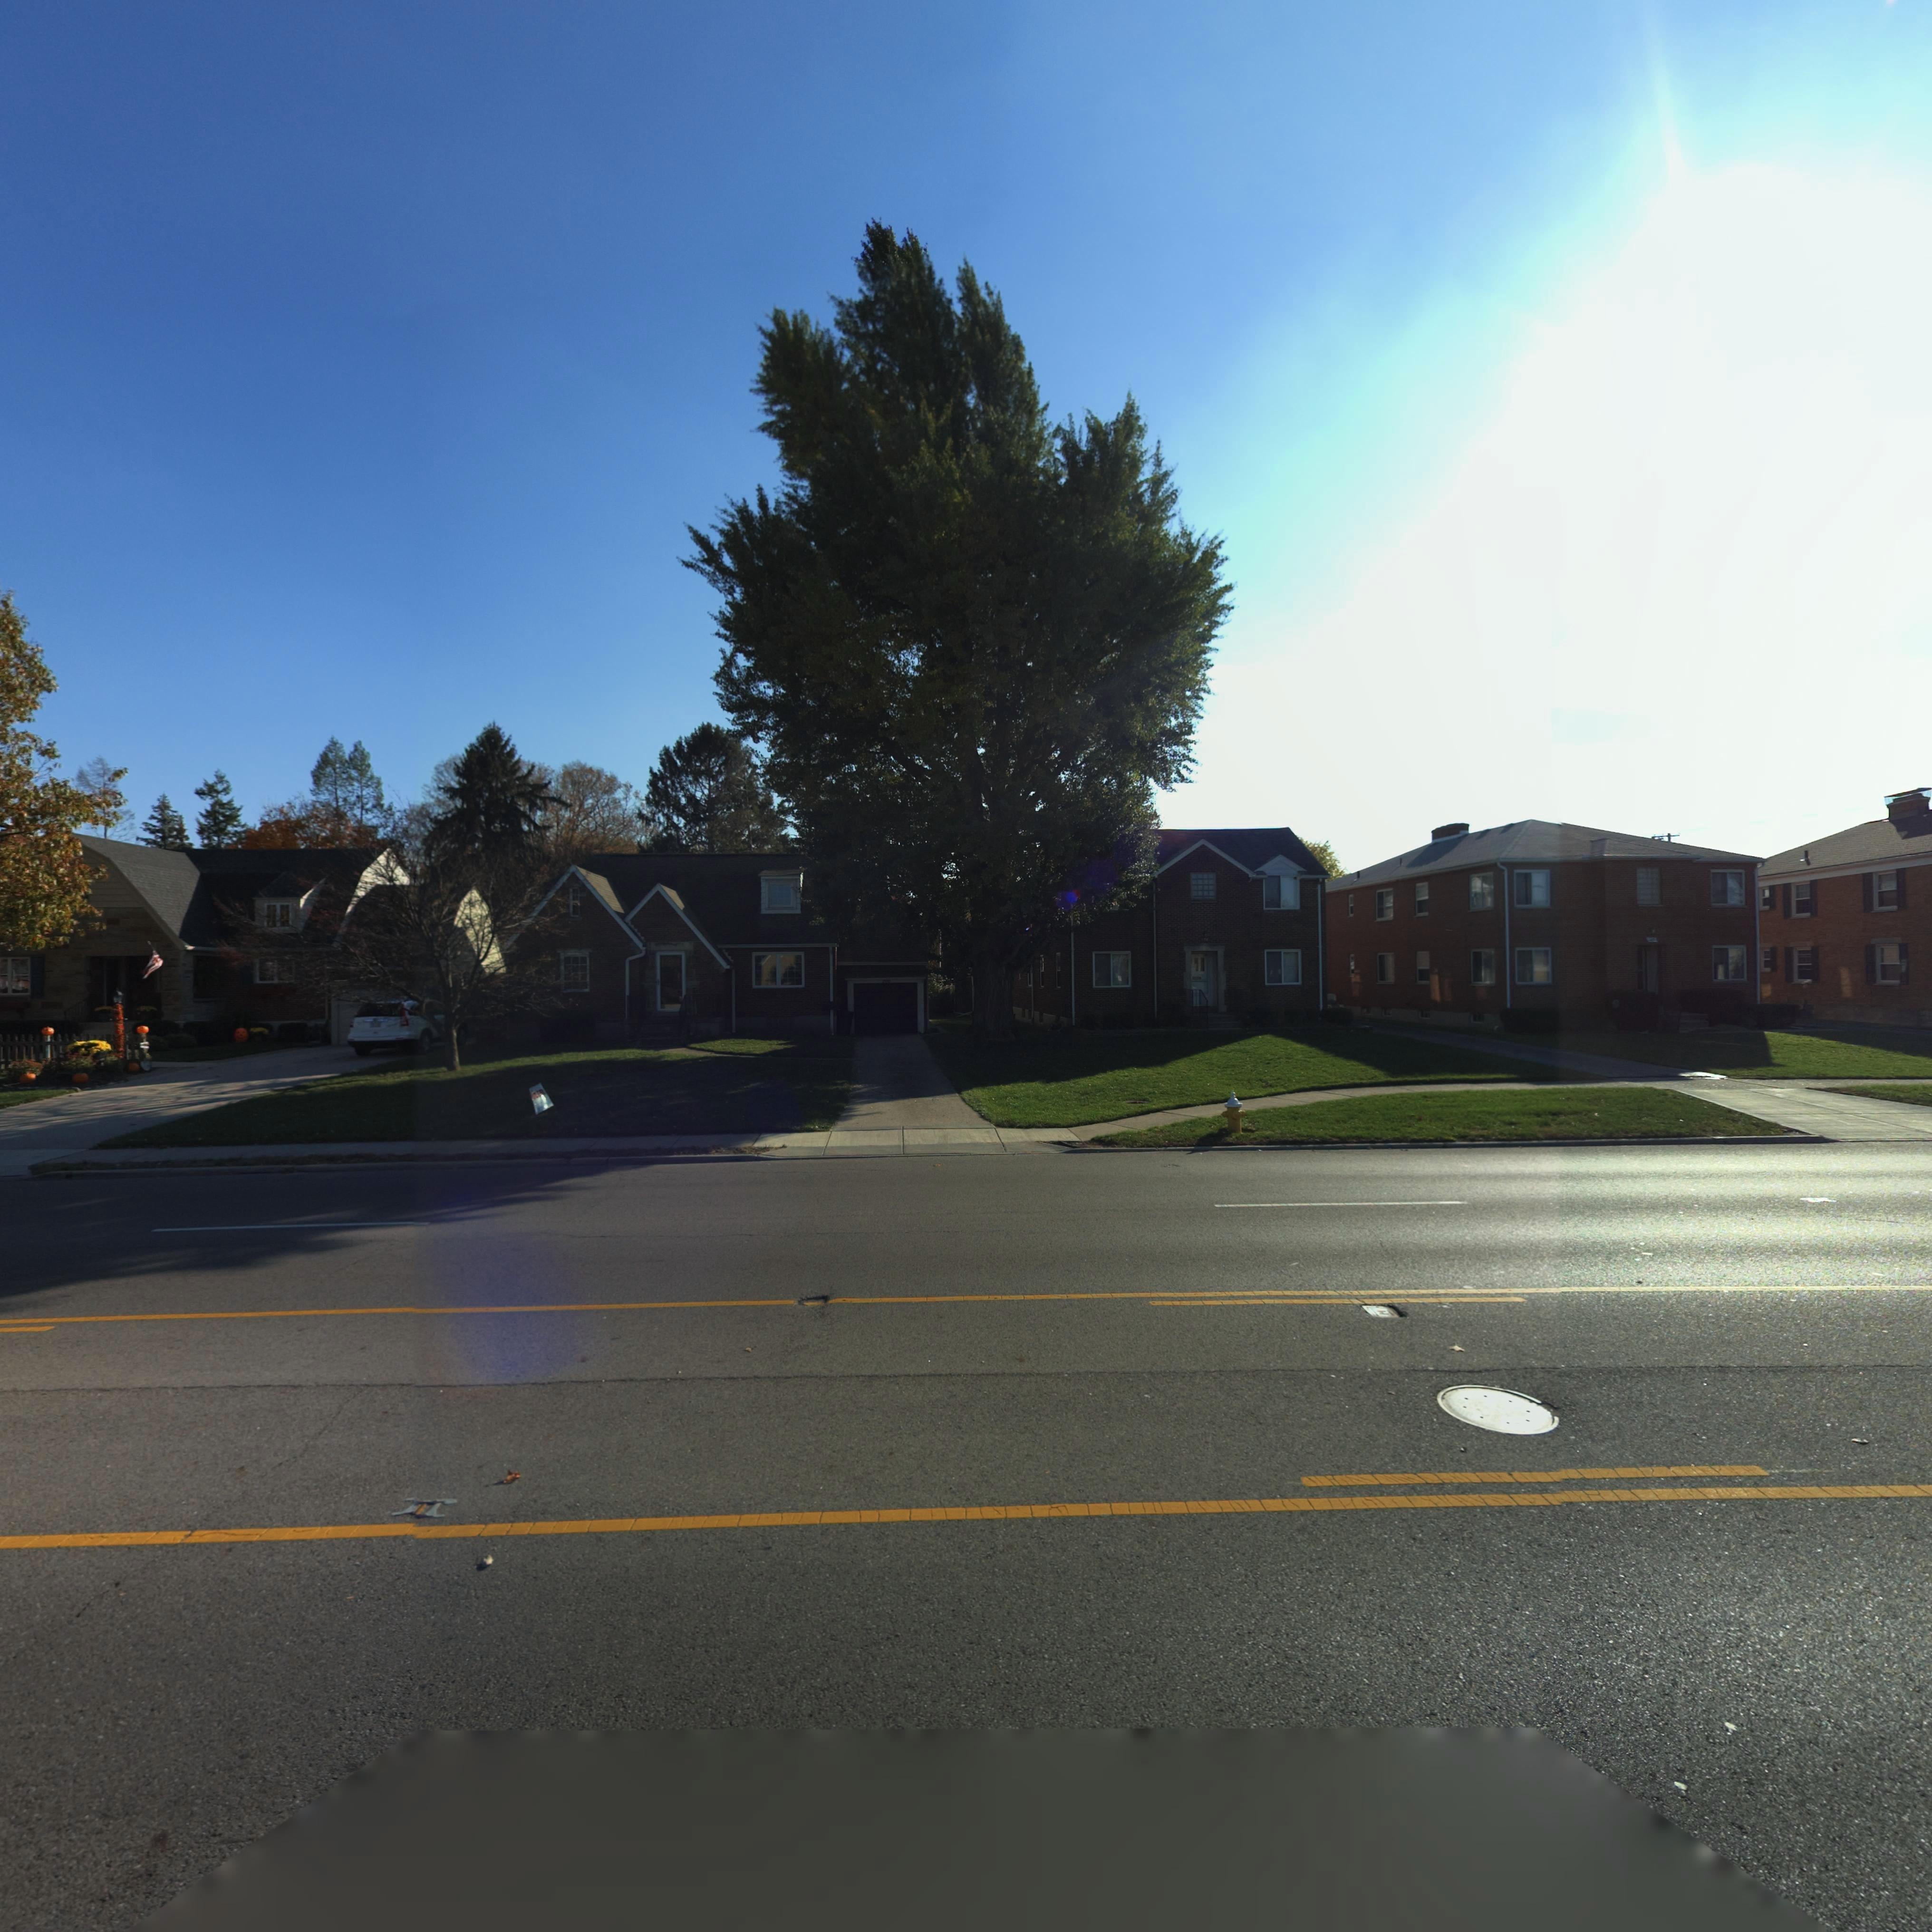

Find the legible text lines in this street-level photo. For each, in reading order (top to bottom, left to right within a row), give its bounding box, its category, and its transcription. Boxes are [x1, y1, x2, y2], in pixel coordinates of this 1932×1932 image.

[881, 978, 891, 984] StreetNumber: 2*0